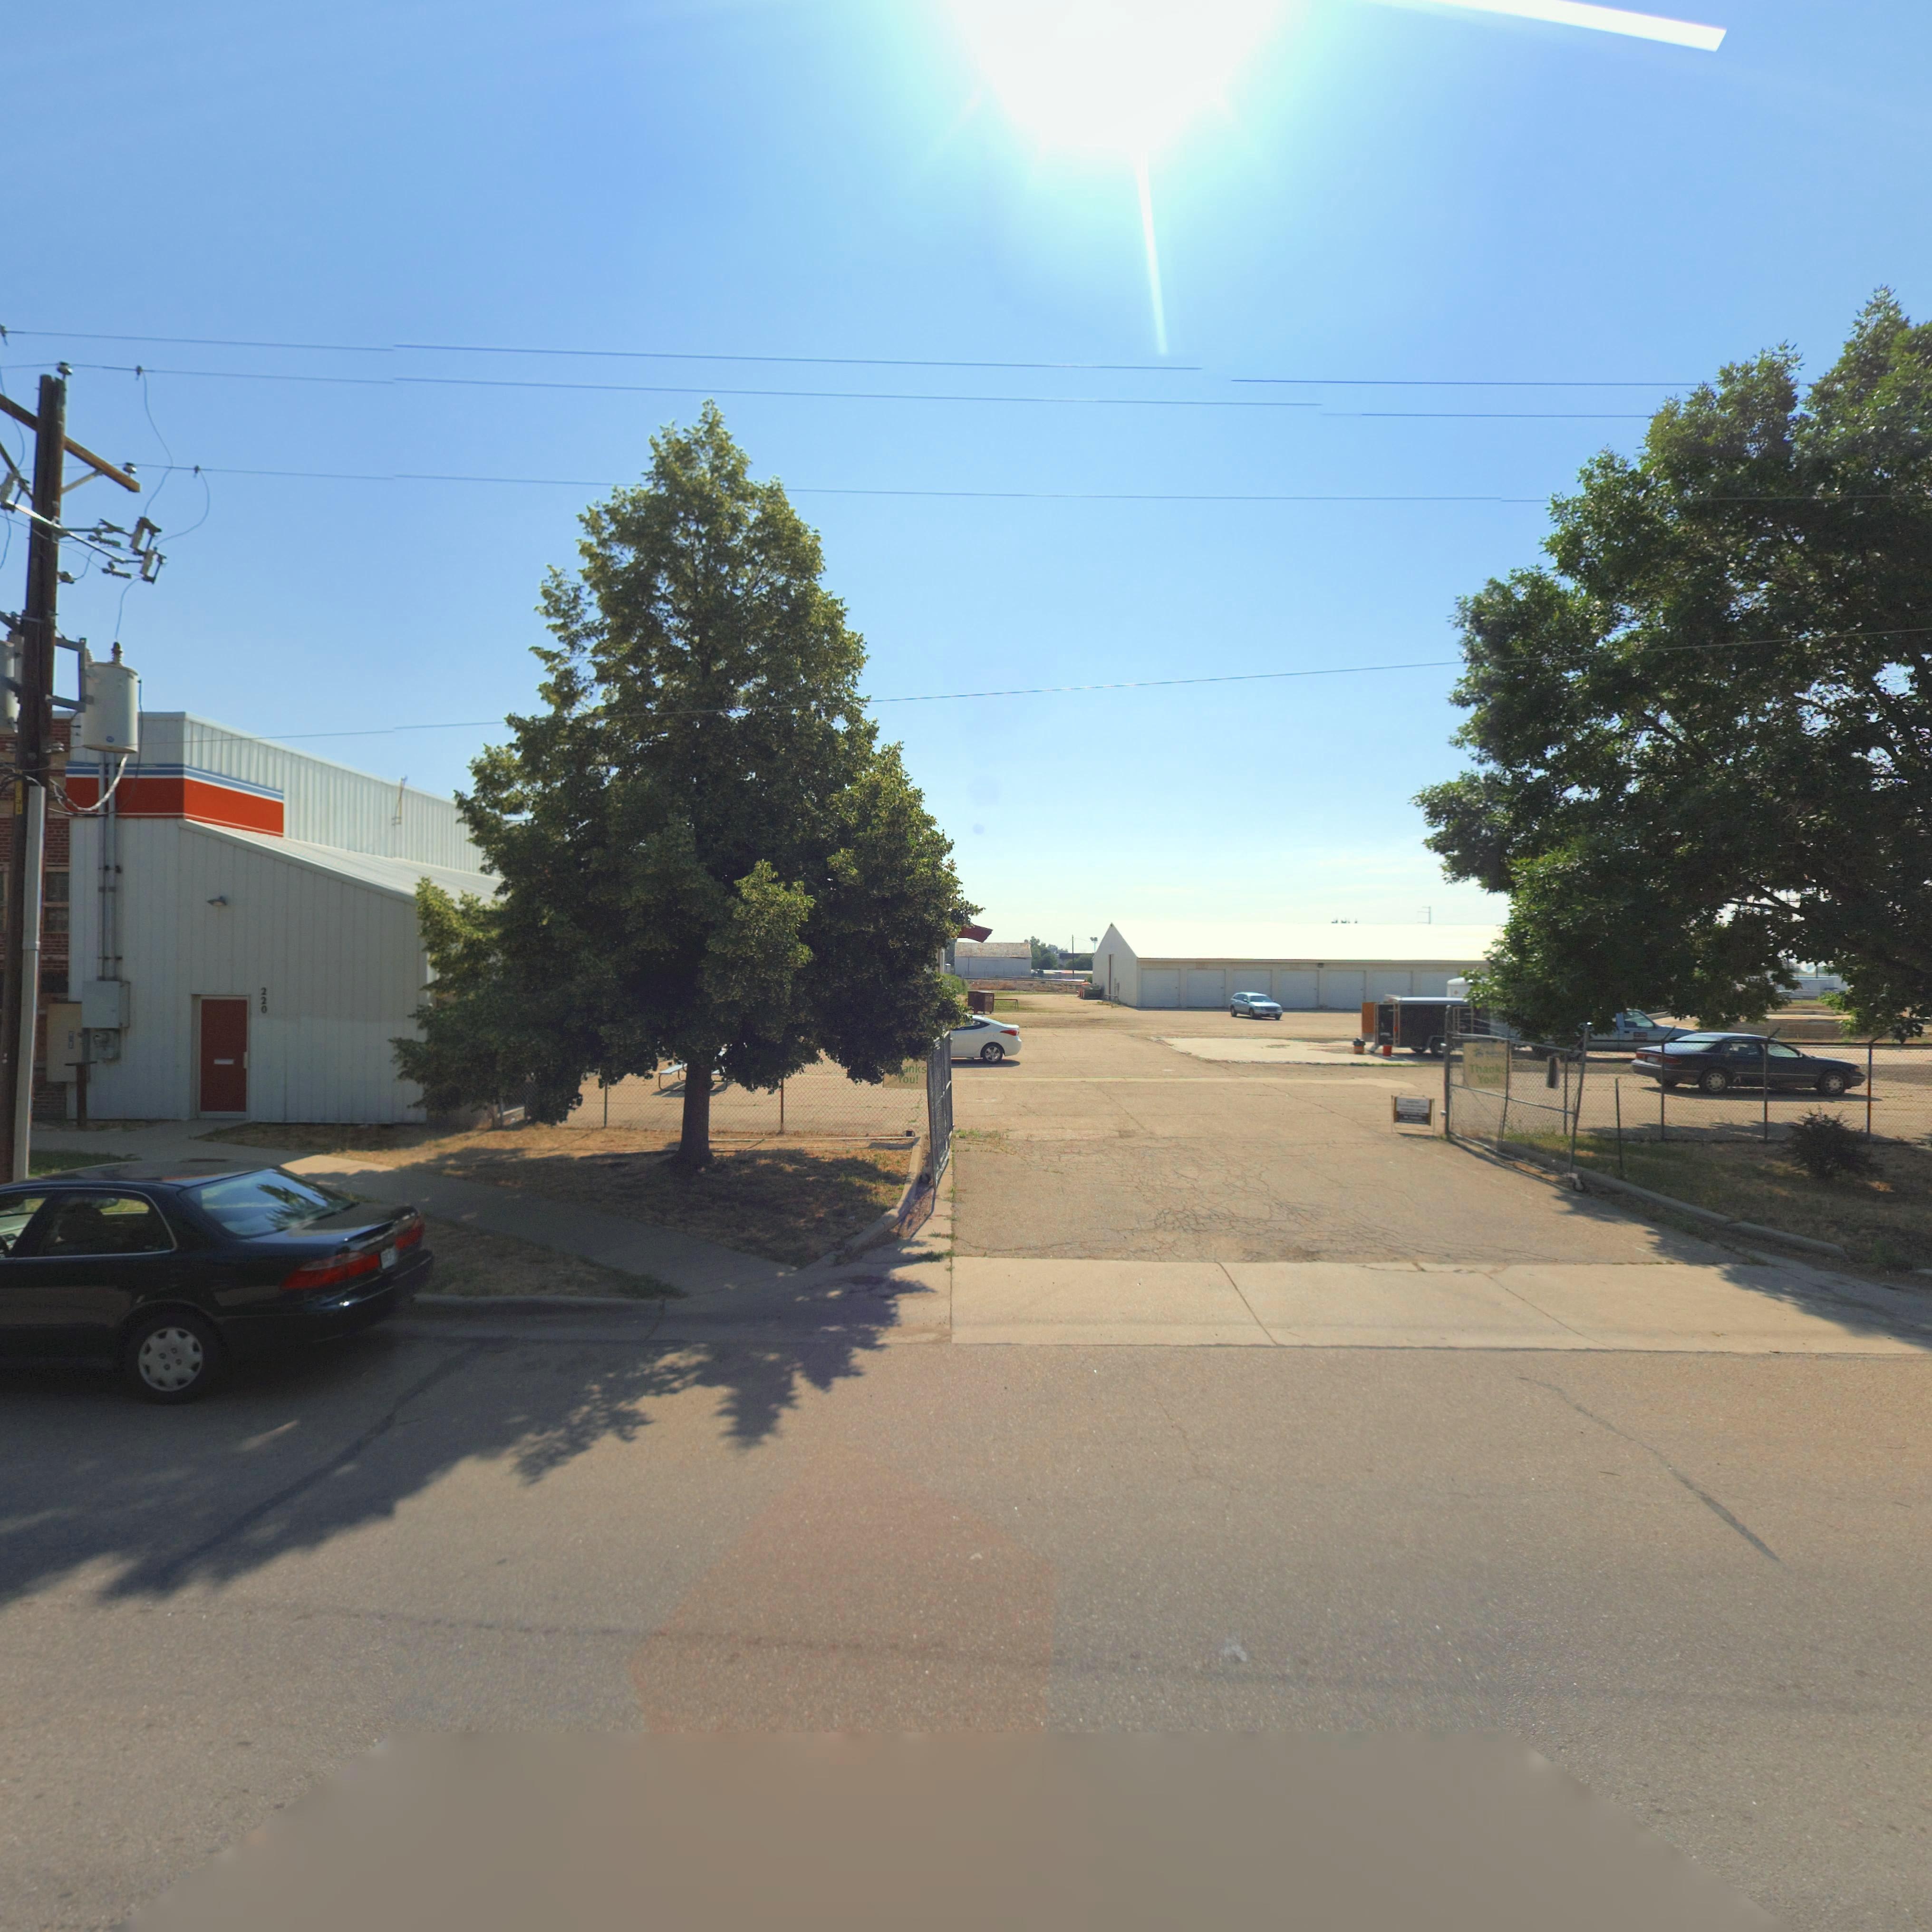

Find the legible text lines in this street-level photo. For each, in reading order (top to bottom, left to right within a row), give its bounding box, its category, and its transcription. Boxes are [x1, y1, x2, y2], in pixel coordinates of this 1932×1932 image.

[261, 986, 267, 1014] StreetNumber: 220